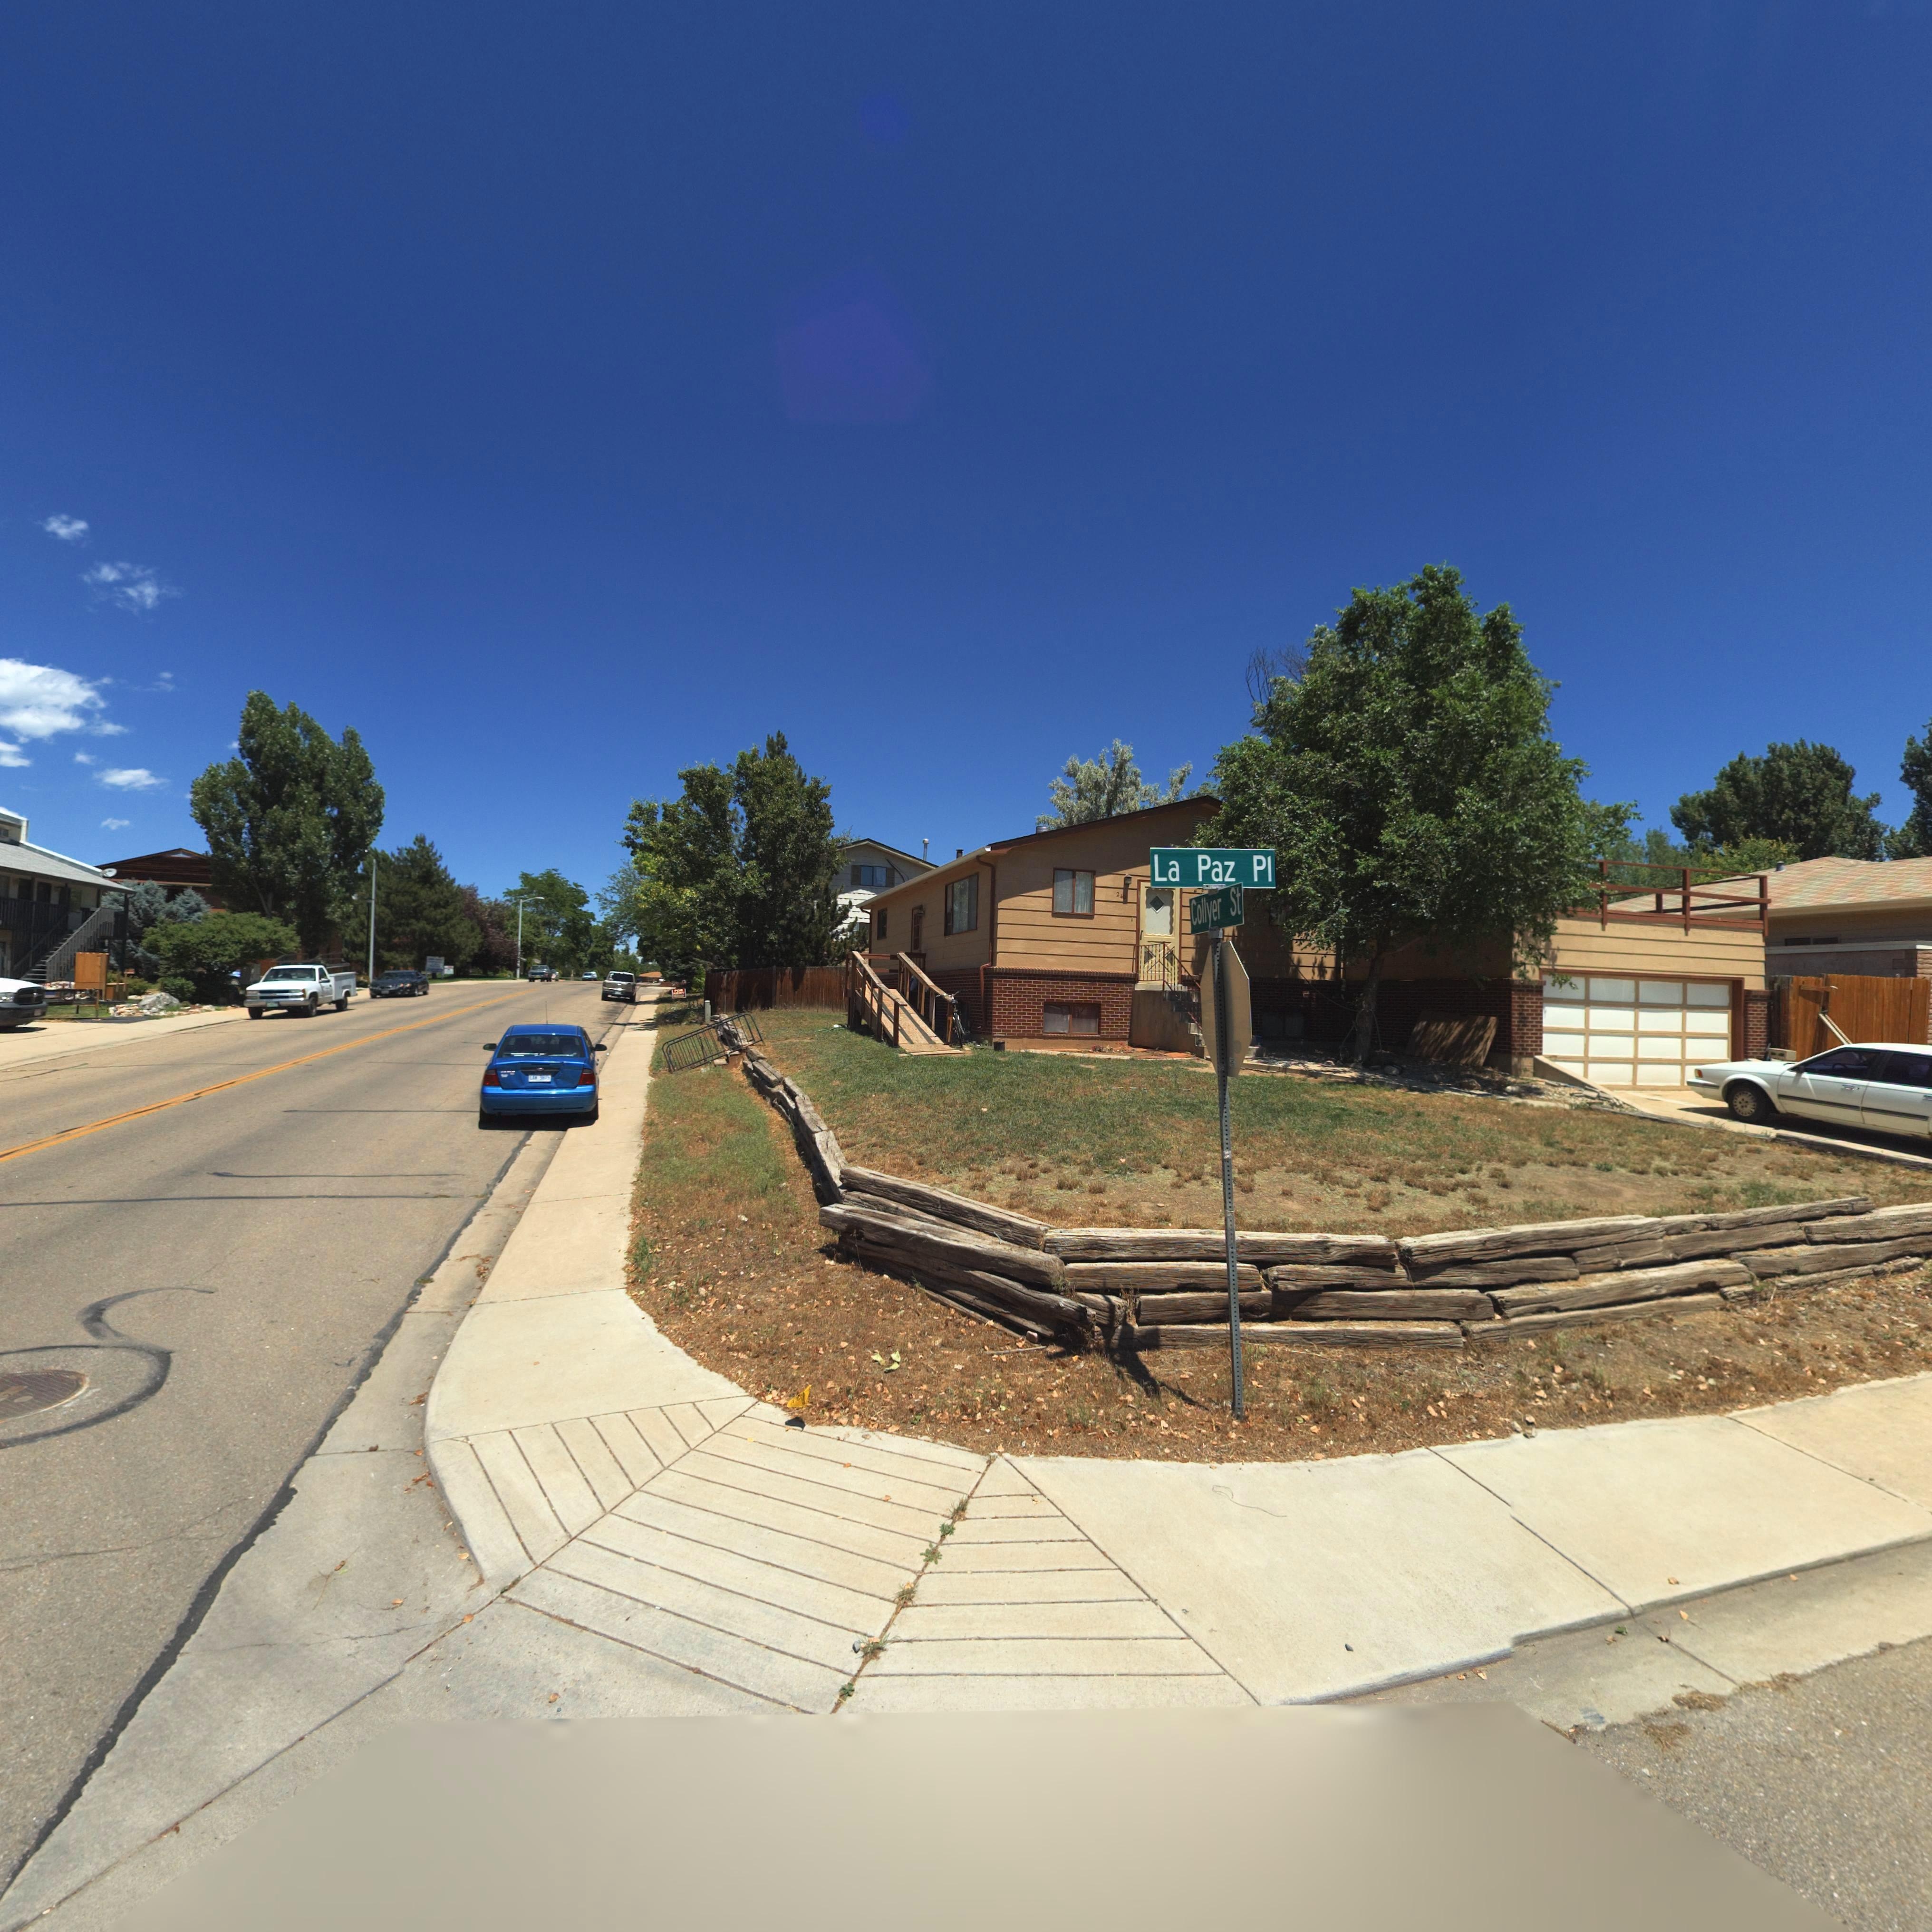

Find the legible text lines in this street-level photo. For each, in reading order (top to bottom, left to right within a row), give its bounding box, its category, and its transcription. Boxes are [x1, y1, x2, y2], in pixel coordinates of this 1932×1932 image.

[1154, 853, 1272, 882] StreetName: La Paz Pl
[1116, 891, 1126, 900] StreetNumber: 240
[1190, 885, 1241, 929] StreetName: Collyer St